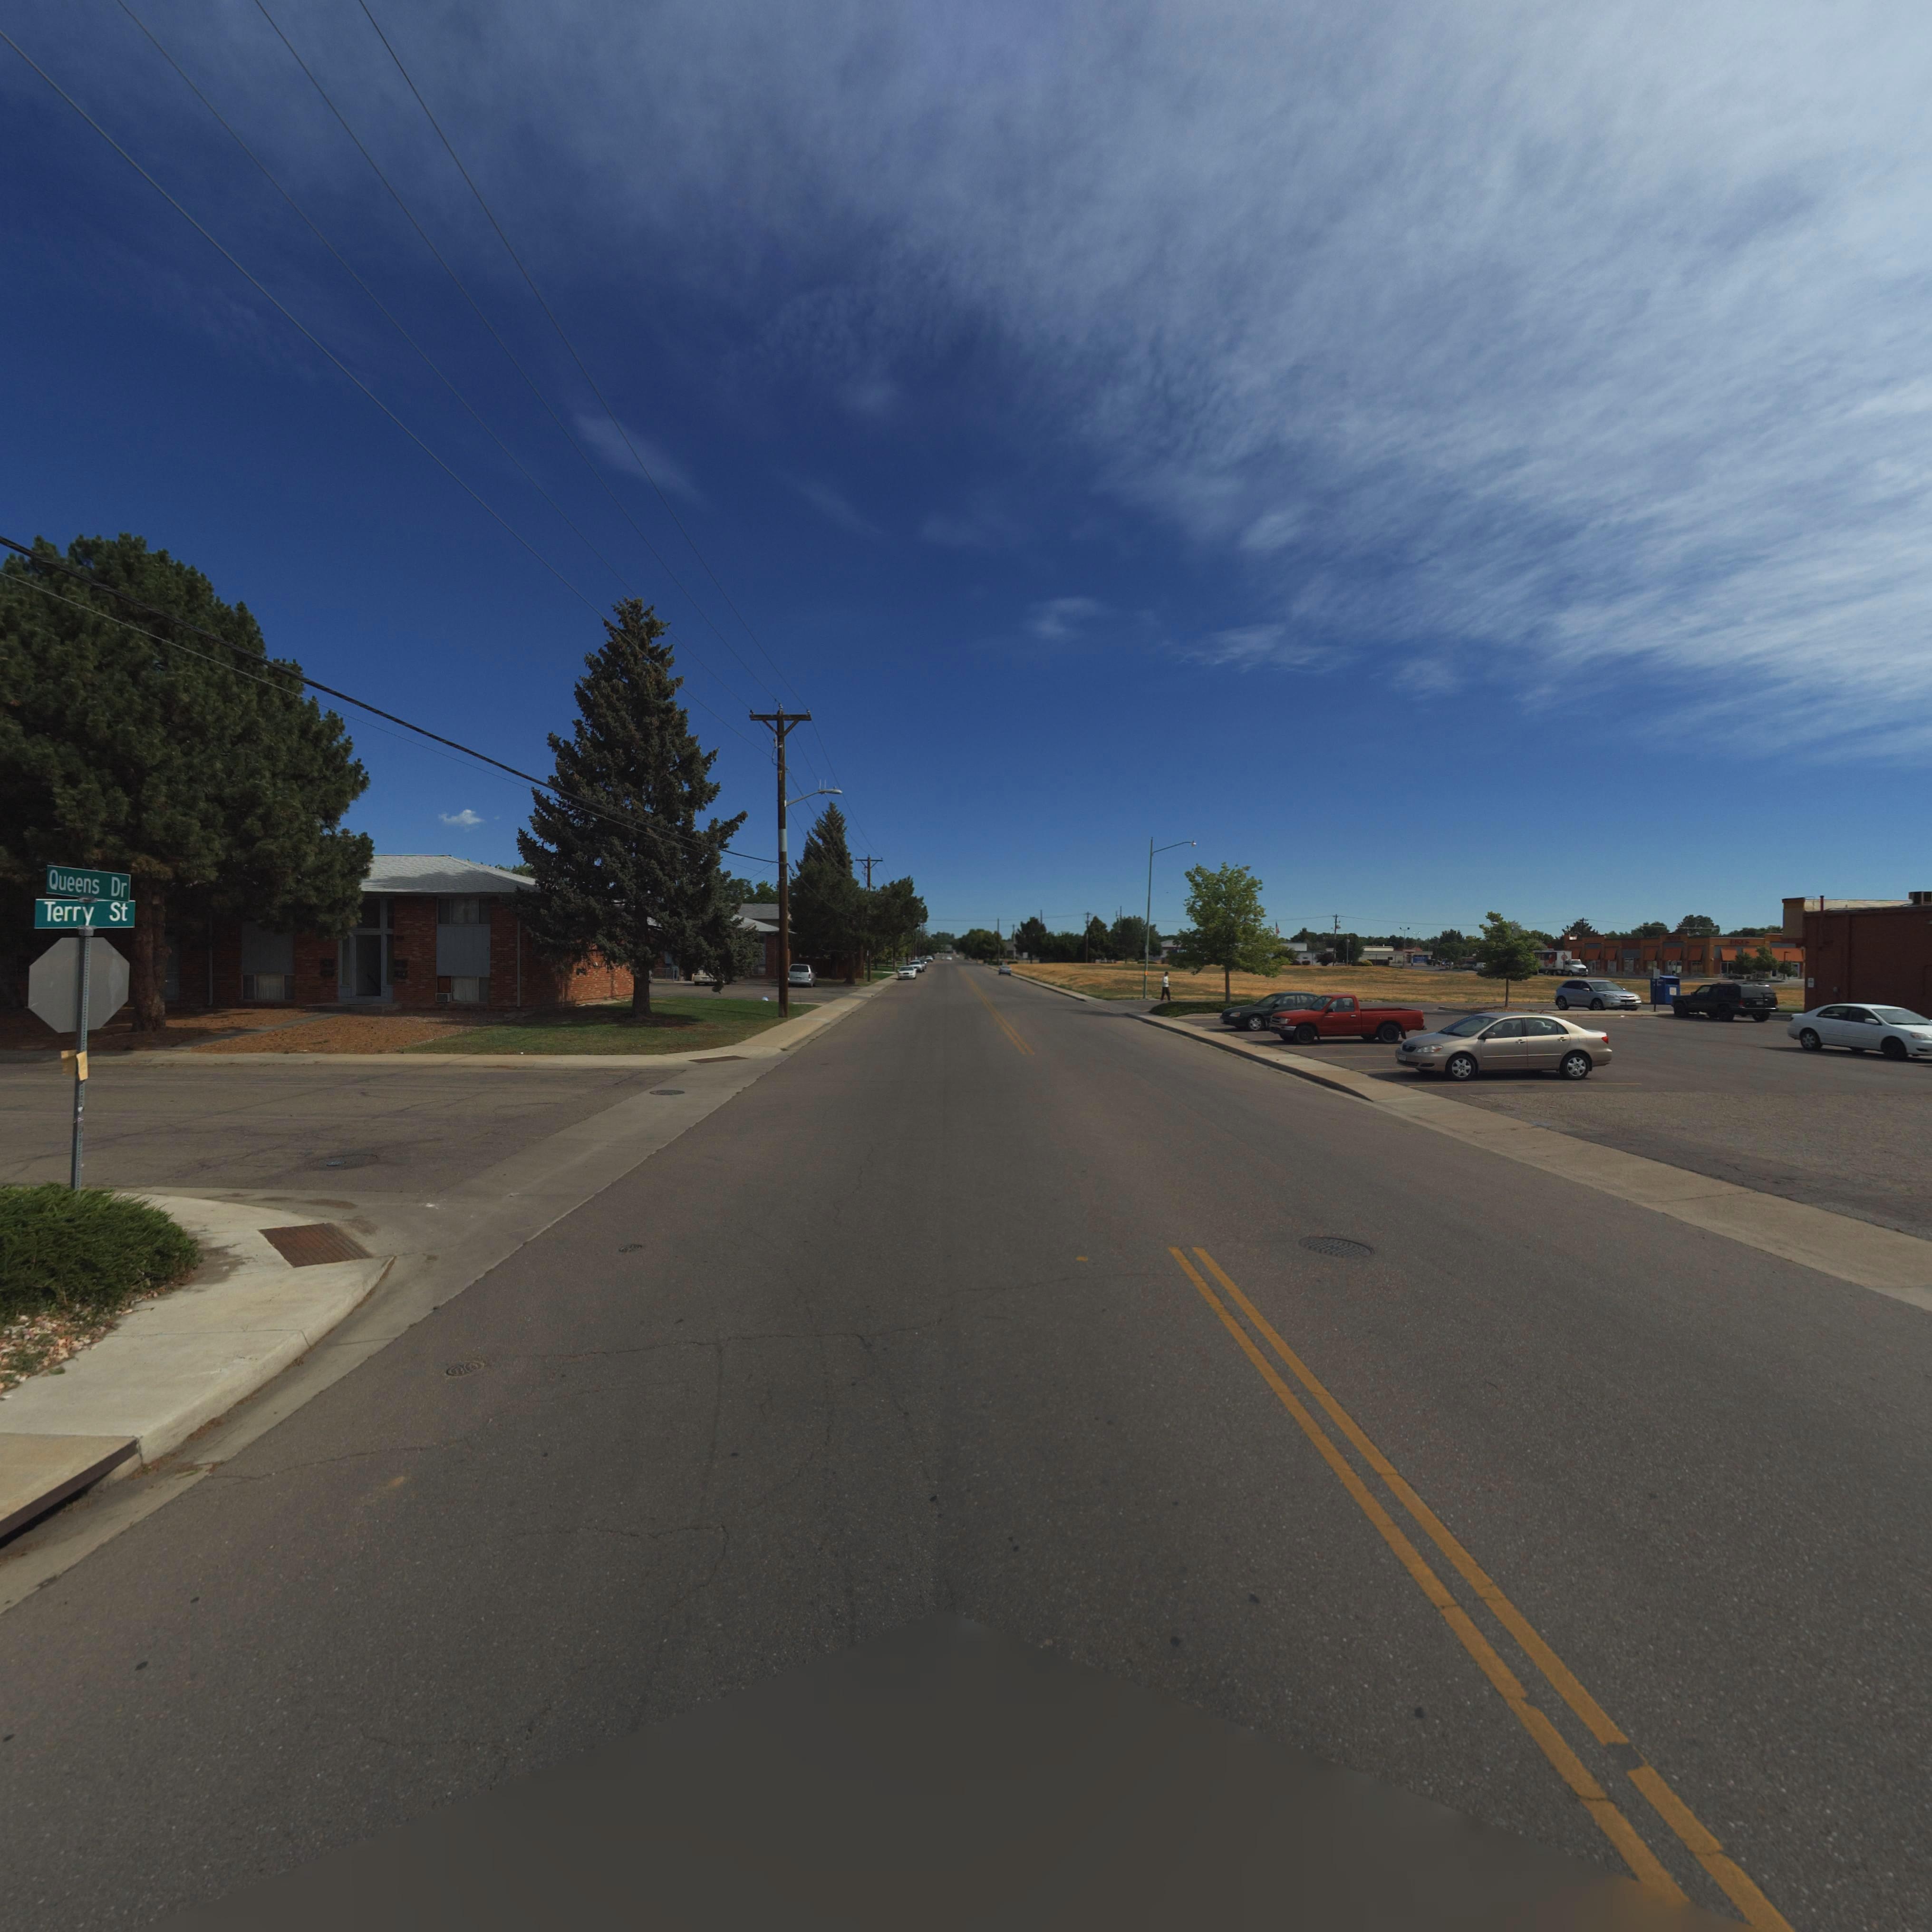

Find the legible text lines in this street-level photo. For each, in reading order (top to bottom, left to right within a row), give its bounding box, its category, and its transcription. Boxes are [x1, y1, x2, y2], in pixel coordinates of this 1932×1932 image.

[48, 868, 128, 898] StreetName: Queens Dr
[42, 900, 129, 927] StreetName: Terry St